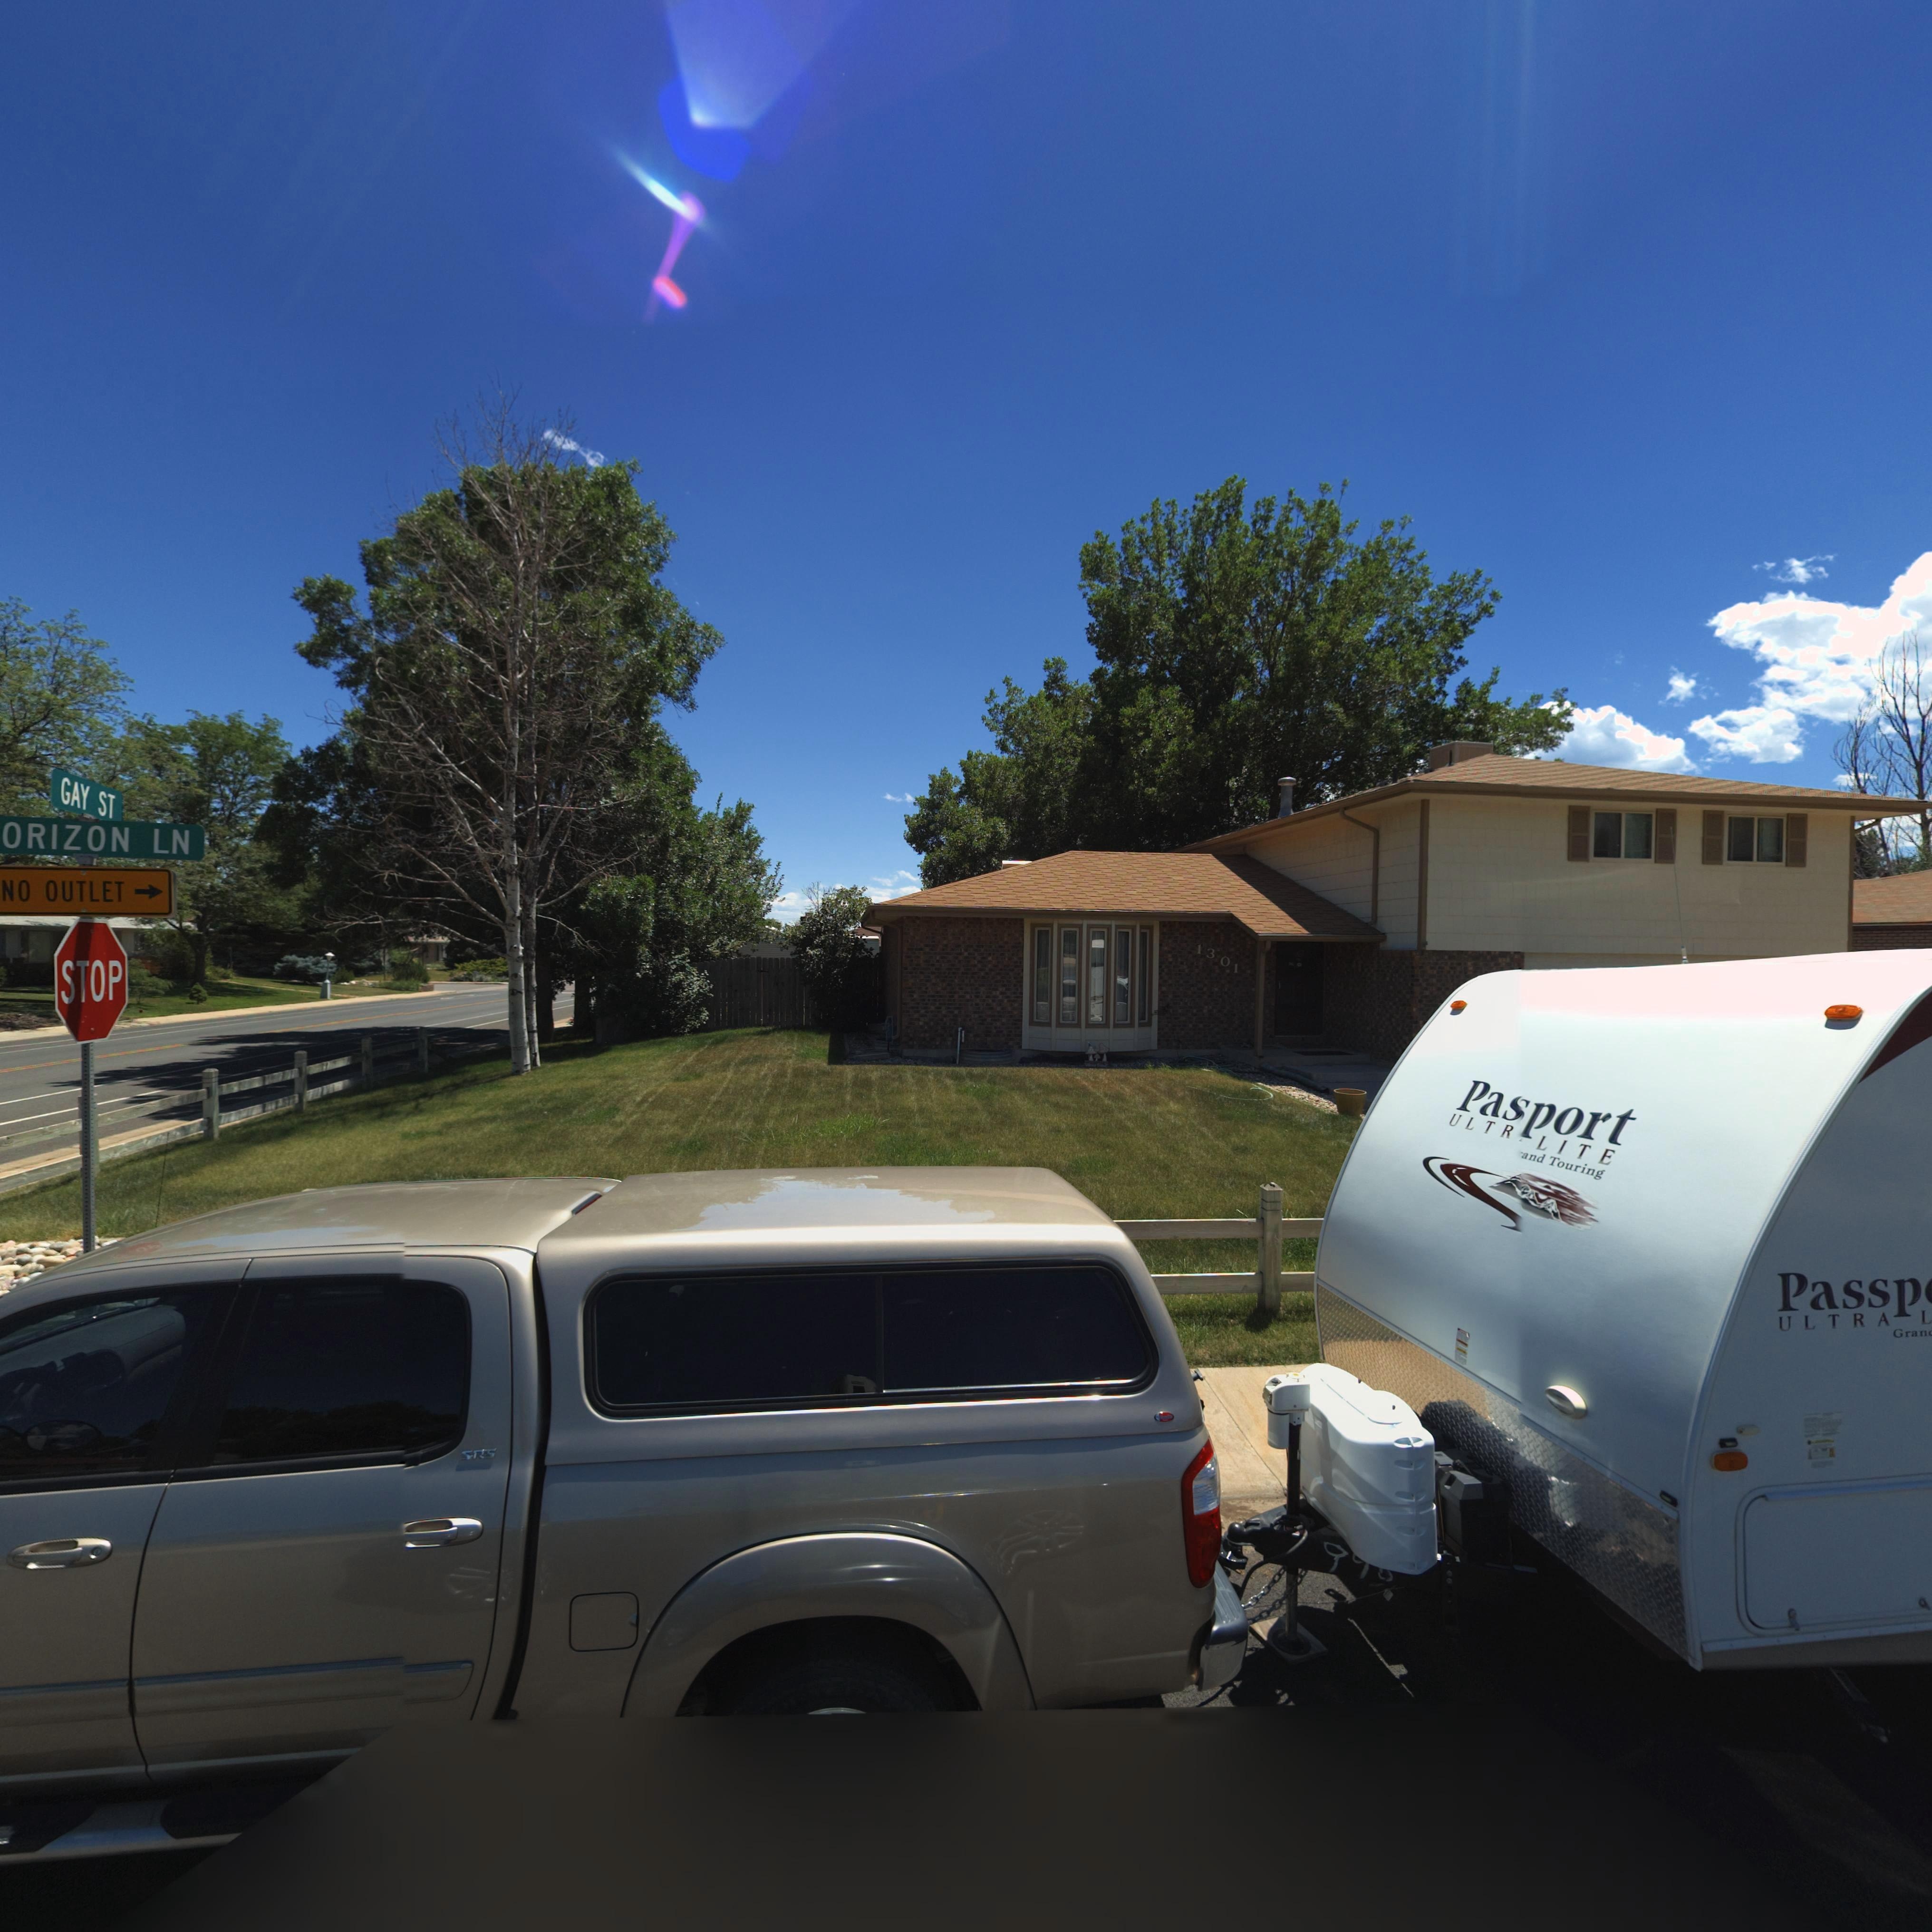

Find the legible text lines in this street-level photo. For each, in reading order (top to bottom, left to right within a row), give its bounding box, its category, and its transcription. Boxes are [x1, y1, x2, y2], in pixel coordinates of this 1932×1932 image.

[60, 776, 116, 819] StreetName: GAY ST
[1, 821, 190, 856] StreetName: ORIZON LN
[1197, 943, 1238, 974] StreetNumber: 1301